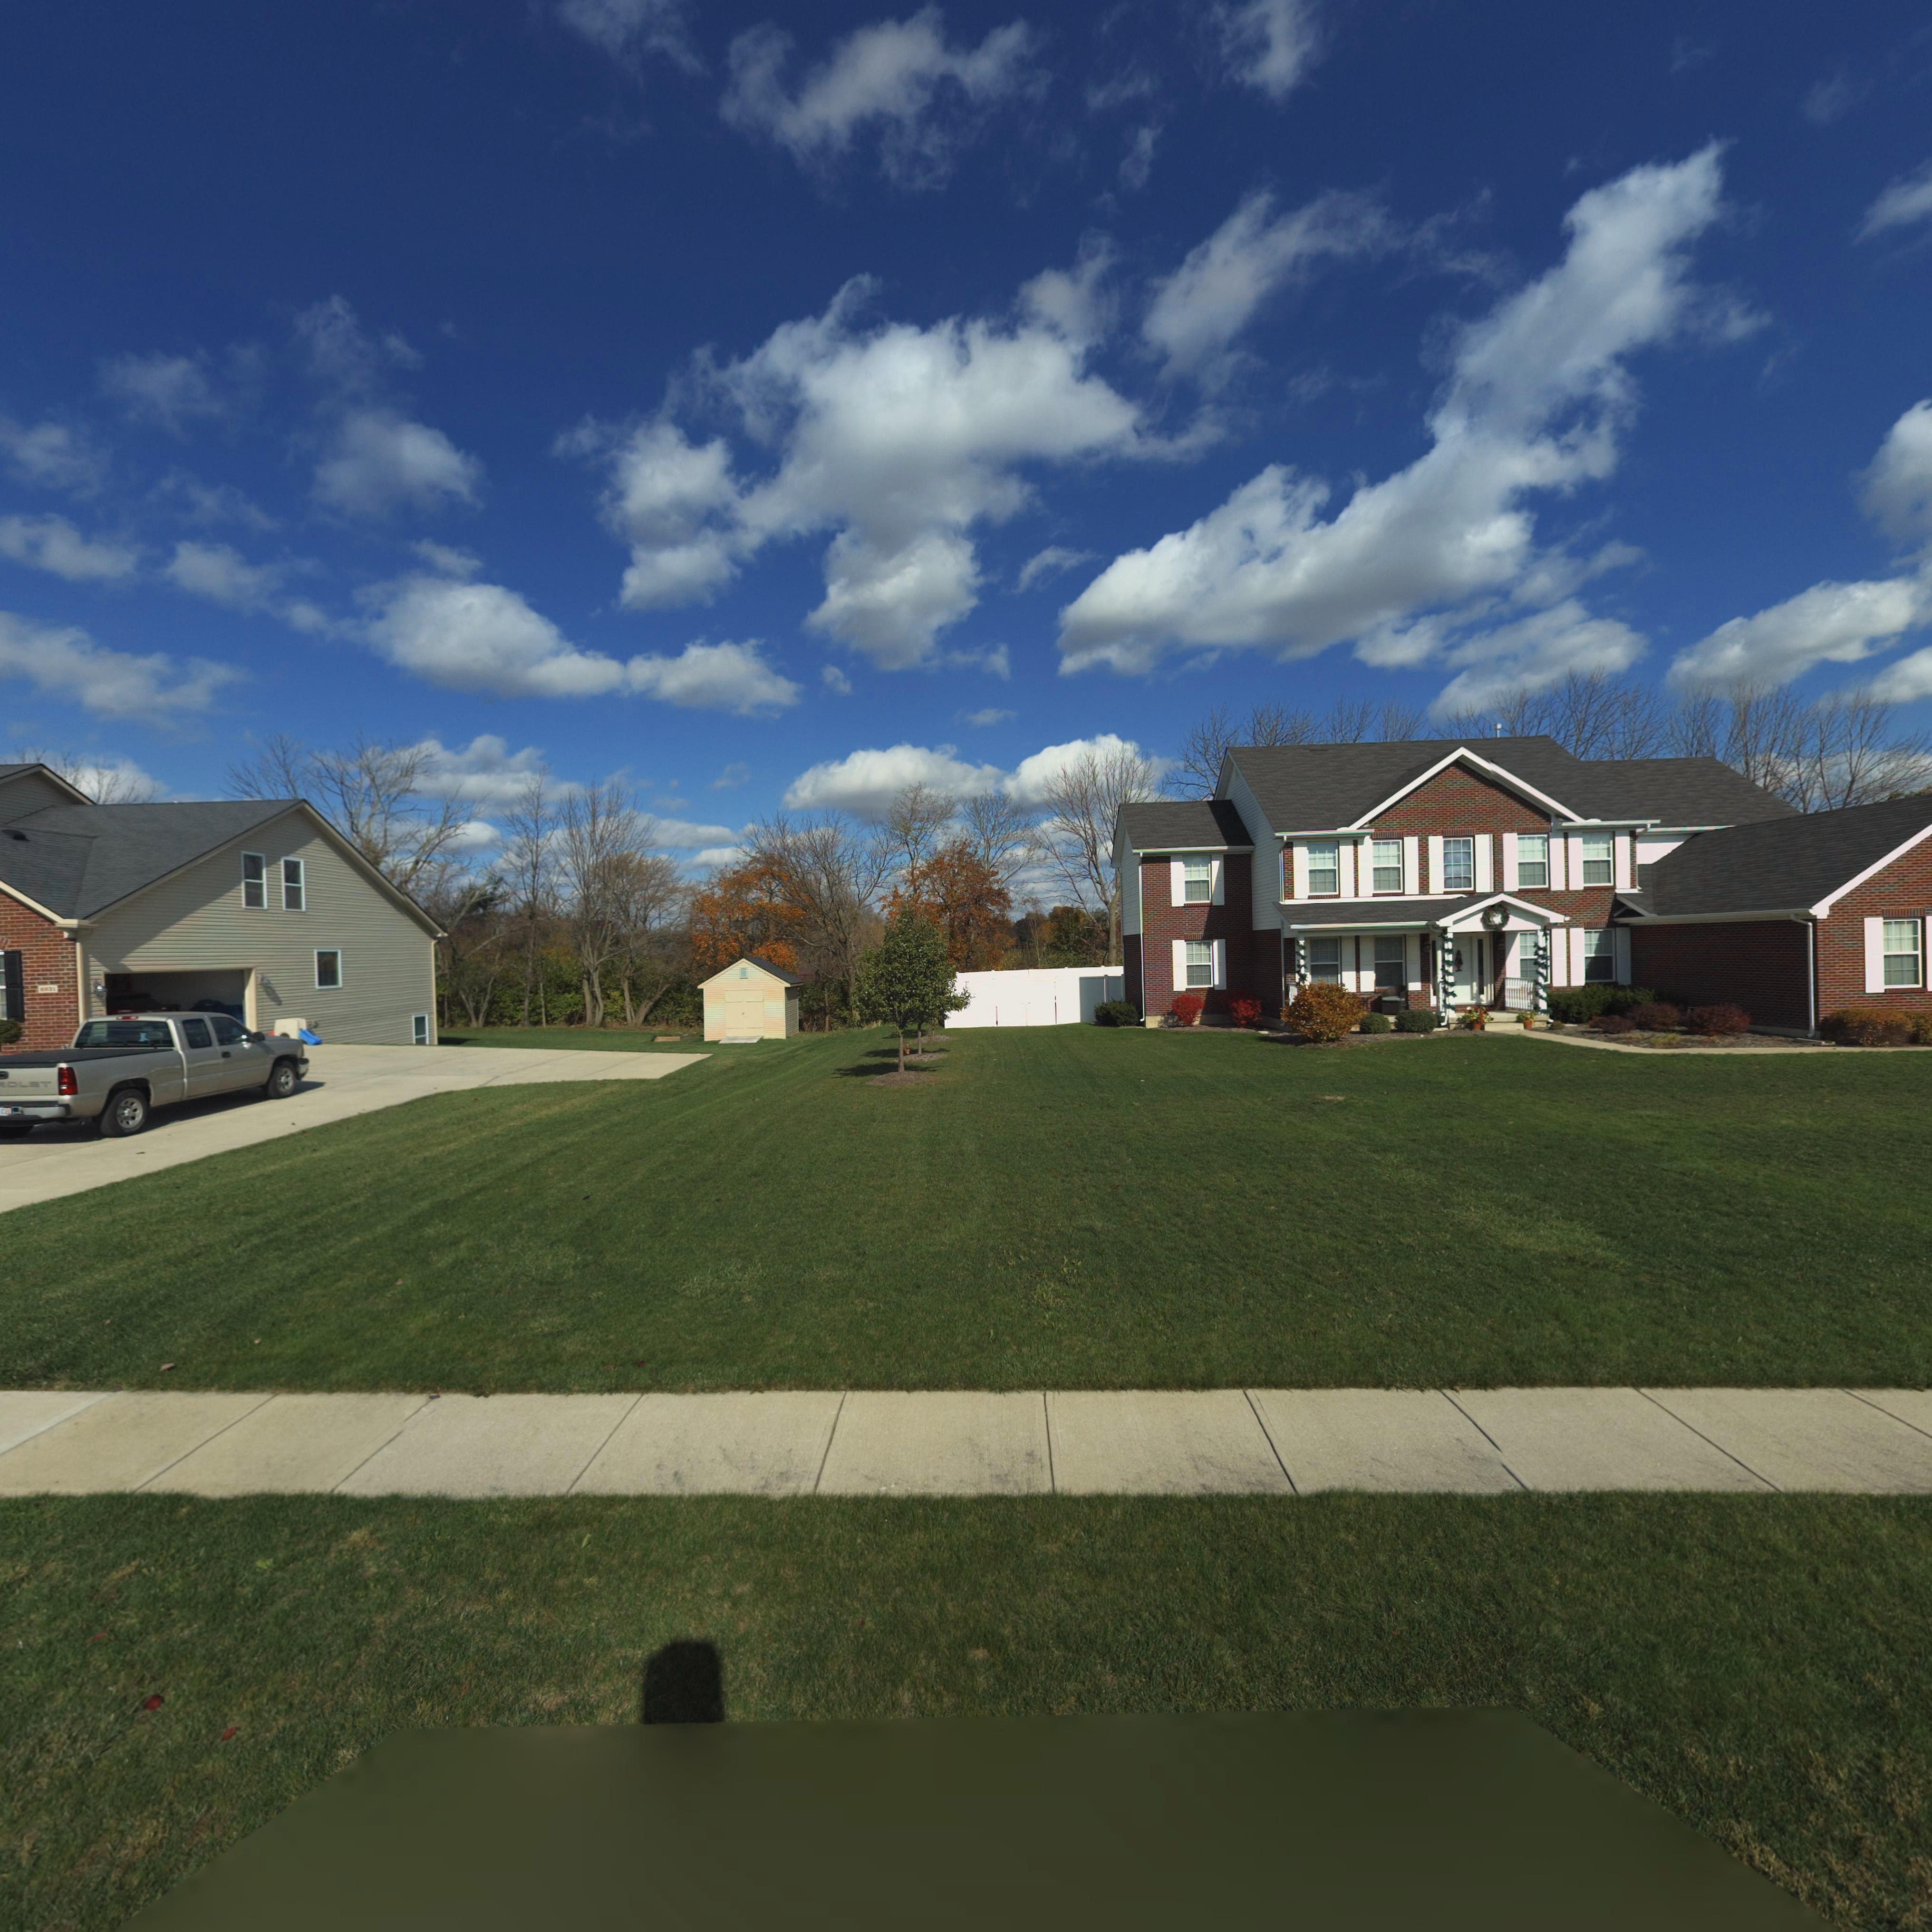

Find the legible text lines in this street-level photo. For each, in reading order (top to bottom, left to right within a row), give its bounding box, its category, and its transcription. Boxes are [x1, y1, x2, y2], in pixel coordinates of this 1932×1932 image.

[39, 985, 57, 992] StreetNumber: **31